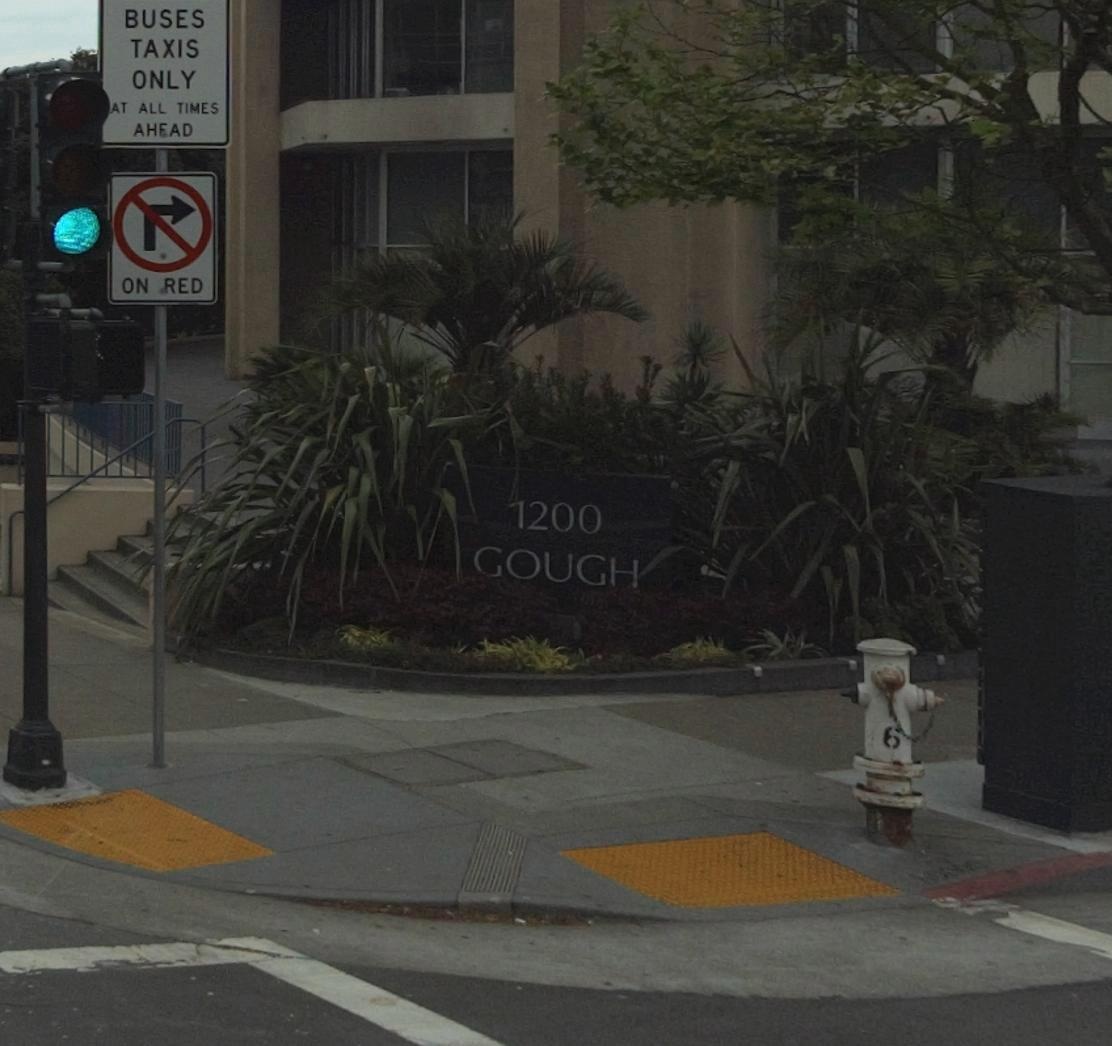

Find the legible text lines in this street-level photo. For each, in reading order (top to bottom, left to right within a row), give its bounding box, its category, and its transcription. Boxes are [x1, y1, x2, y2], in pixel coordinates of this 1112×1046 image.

[124, 8, 207, 31] None: BUSES
[129, 38, 201, 60] None: TAXIS
[130, 69, 199, 91] None: ONLY
[109, 101, 220, 116] None: AT ALL TIMES
[132, 121, 195, 138] None: AH*AD
[121, 276, 205, 295] None: ON RED
[506, 499, 603, 535] StreetNumber: 1200
[472, 545, 640, 591] StreetName: GOUGH